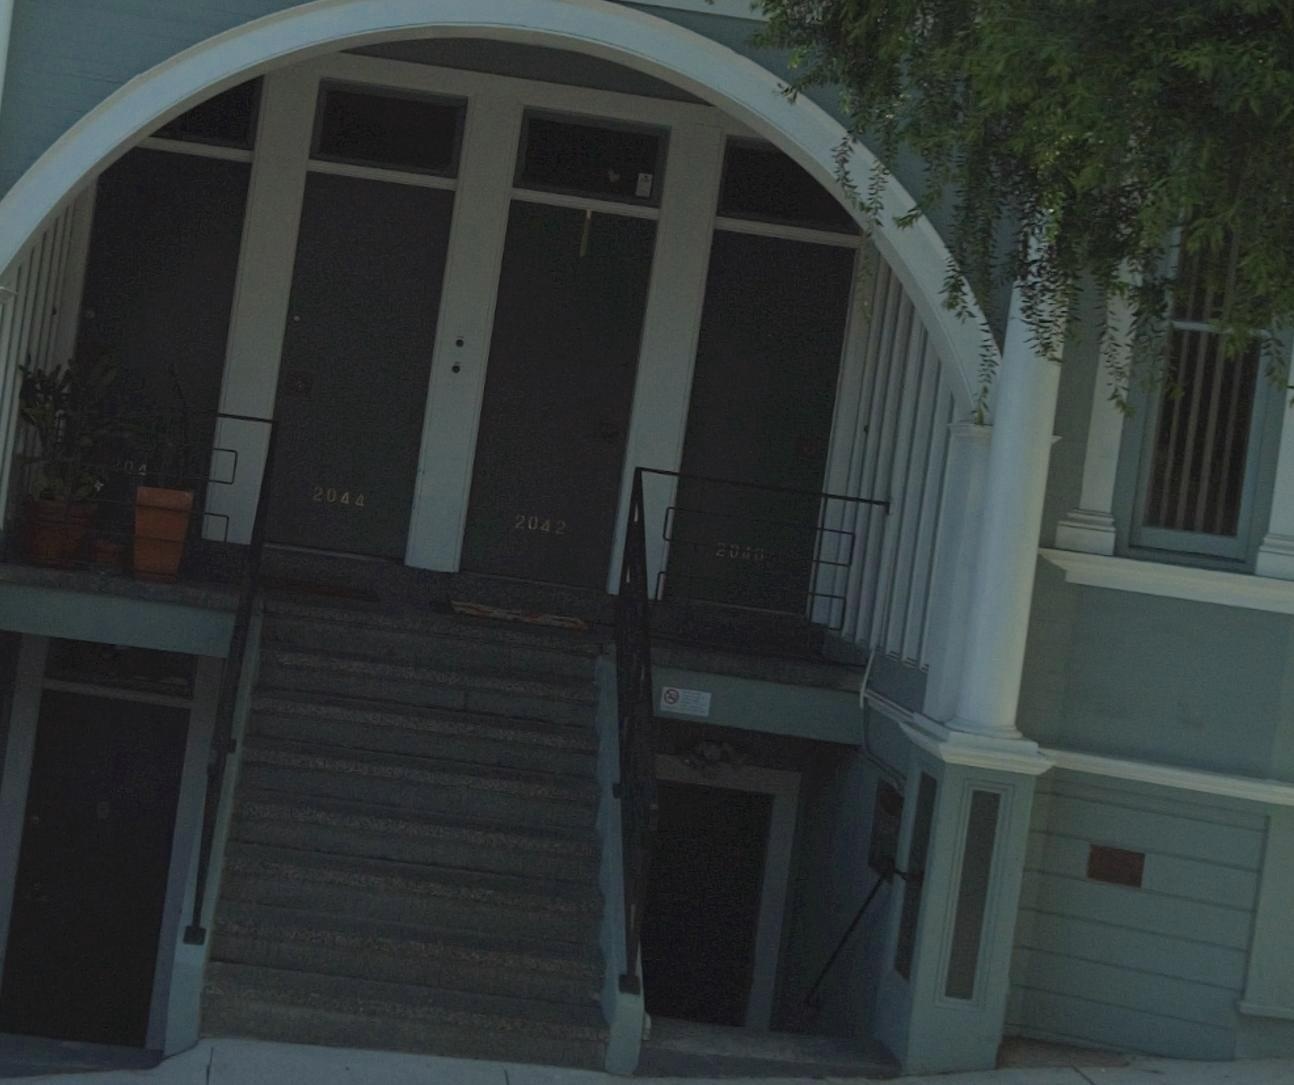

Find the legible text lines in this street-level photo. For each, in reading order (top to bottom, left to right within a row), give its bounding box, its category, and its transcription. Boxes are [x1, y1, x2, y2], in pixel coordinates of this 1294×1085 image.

[310, 485, 367, 510] StreetNumber: 2044
[513, 513, 569, 536] StreetNumber: 2042
[712, 540, 766, 563] StreetNumber: 2040